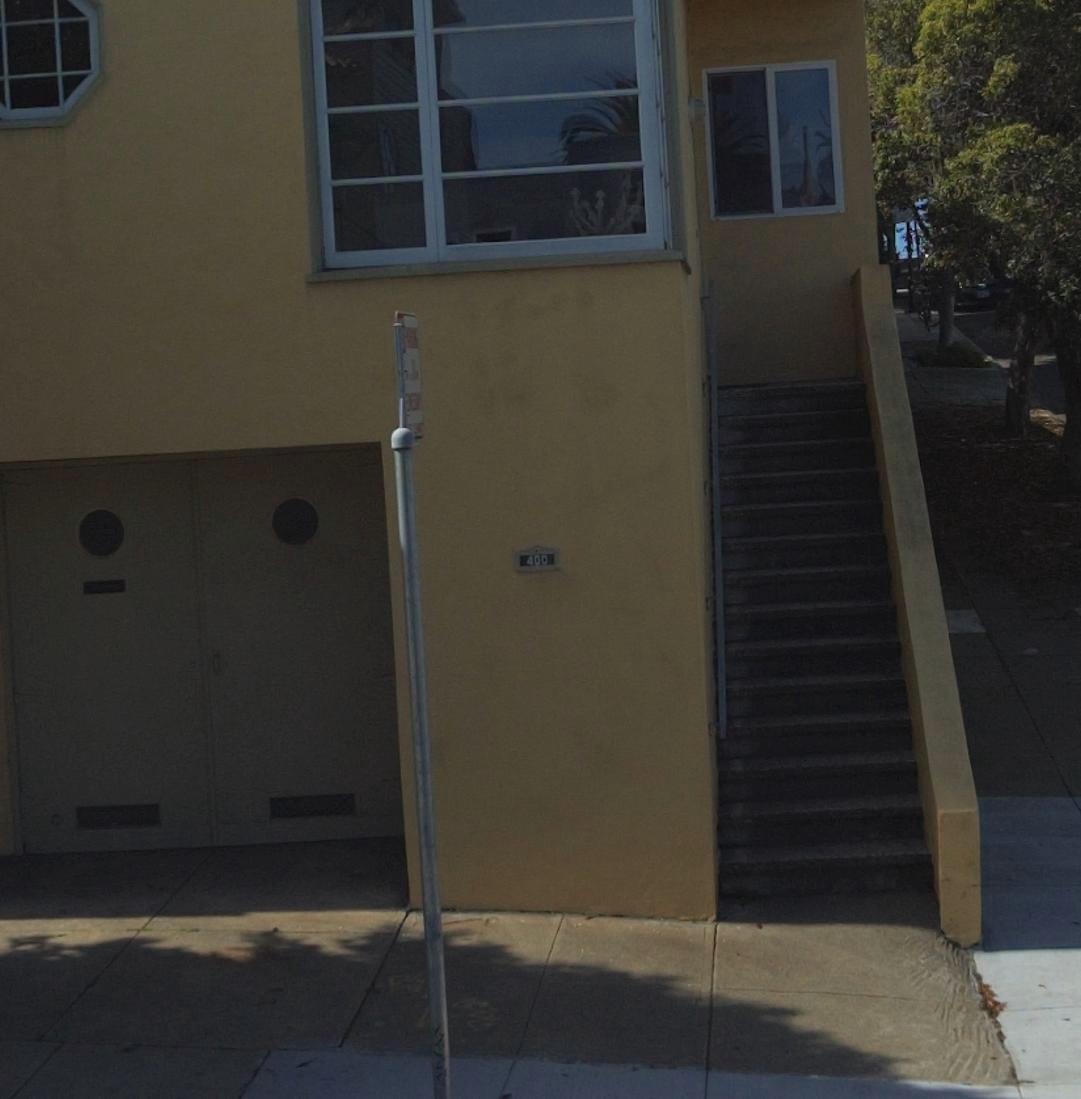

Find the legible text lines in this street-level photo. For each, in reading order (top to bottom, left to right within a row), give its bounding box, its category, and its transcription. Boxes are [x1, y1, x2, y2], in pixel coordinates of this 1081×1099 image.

[525, 552, 551, 567] StreetNumber: 400